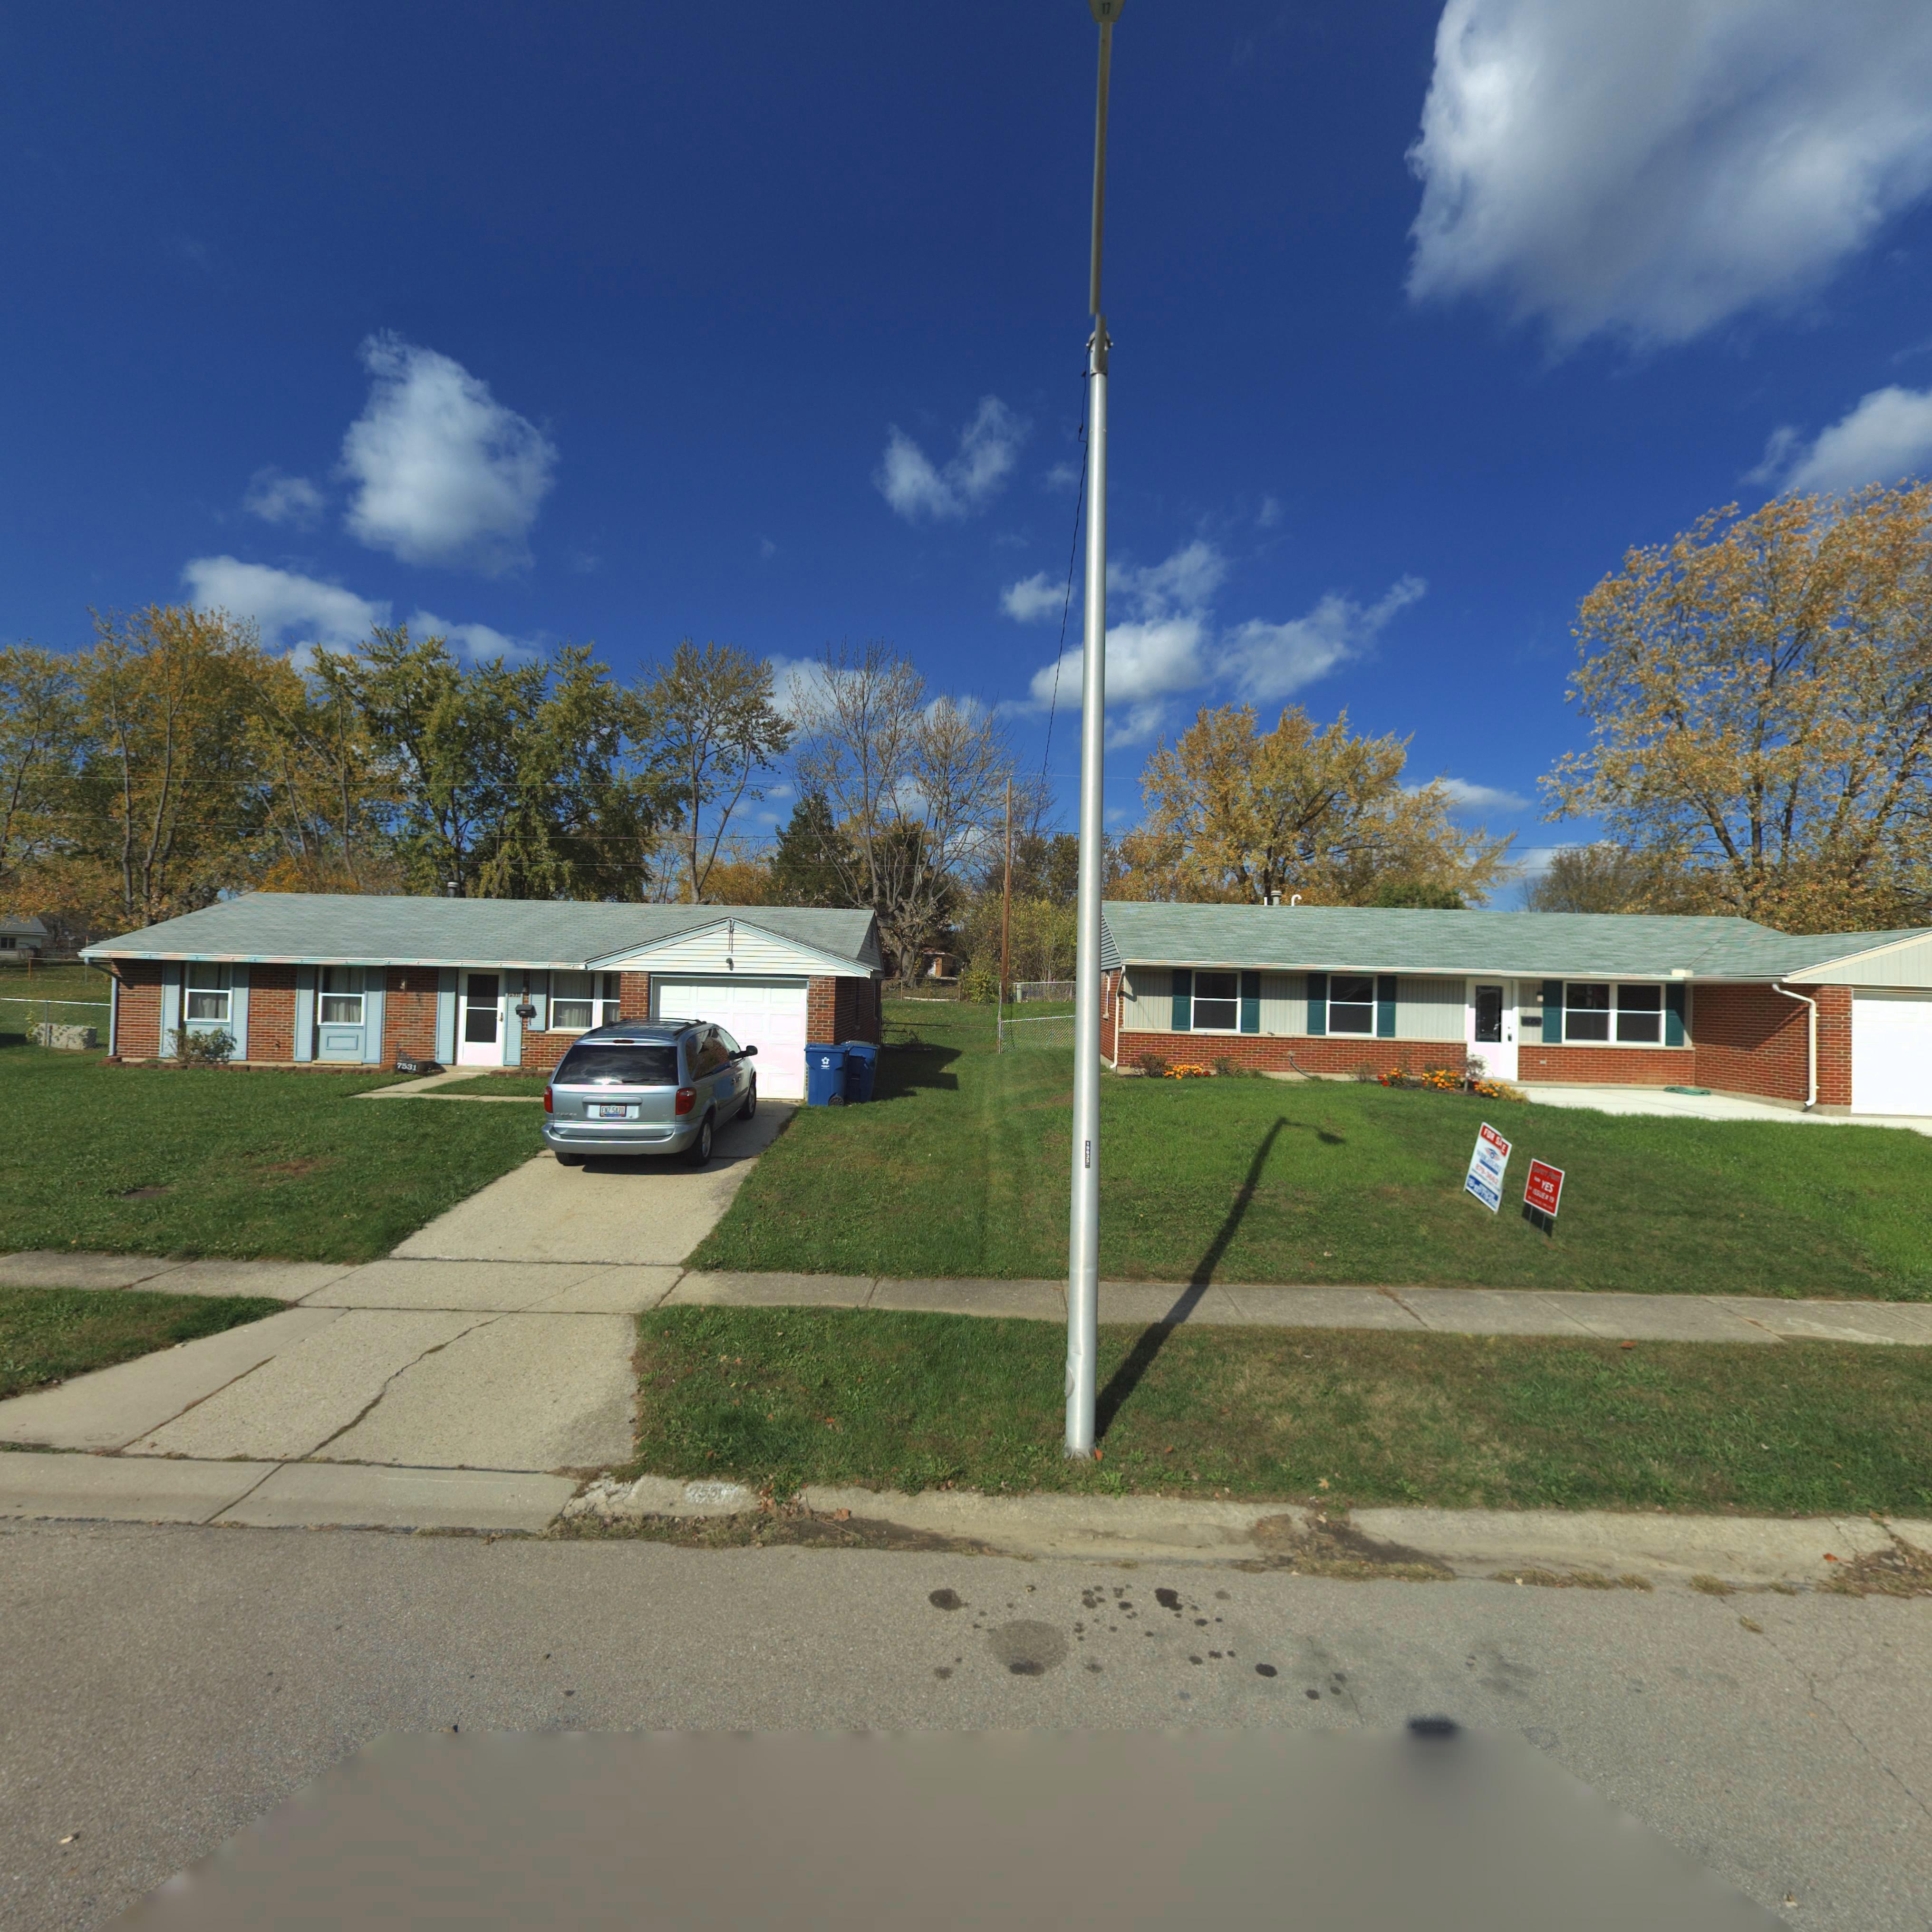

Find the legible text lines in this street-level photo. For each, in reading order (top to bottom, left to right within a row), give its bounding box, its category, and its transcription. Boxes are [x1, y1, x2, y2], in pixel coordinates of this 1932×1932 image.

[507, 992, 521, 997] StreetNumber: 7531
[1523, 996, 1529, 1015] StreetNumber: 543
[396, 1061, 417, 1072] StreetNumber: 7531
[690, 1485, 724, 1501] StreetNumber: 7531